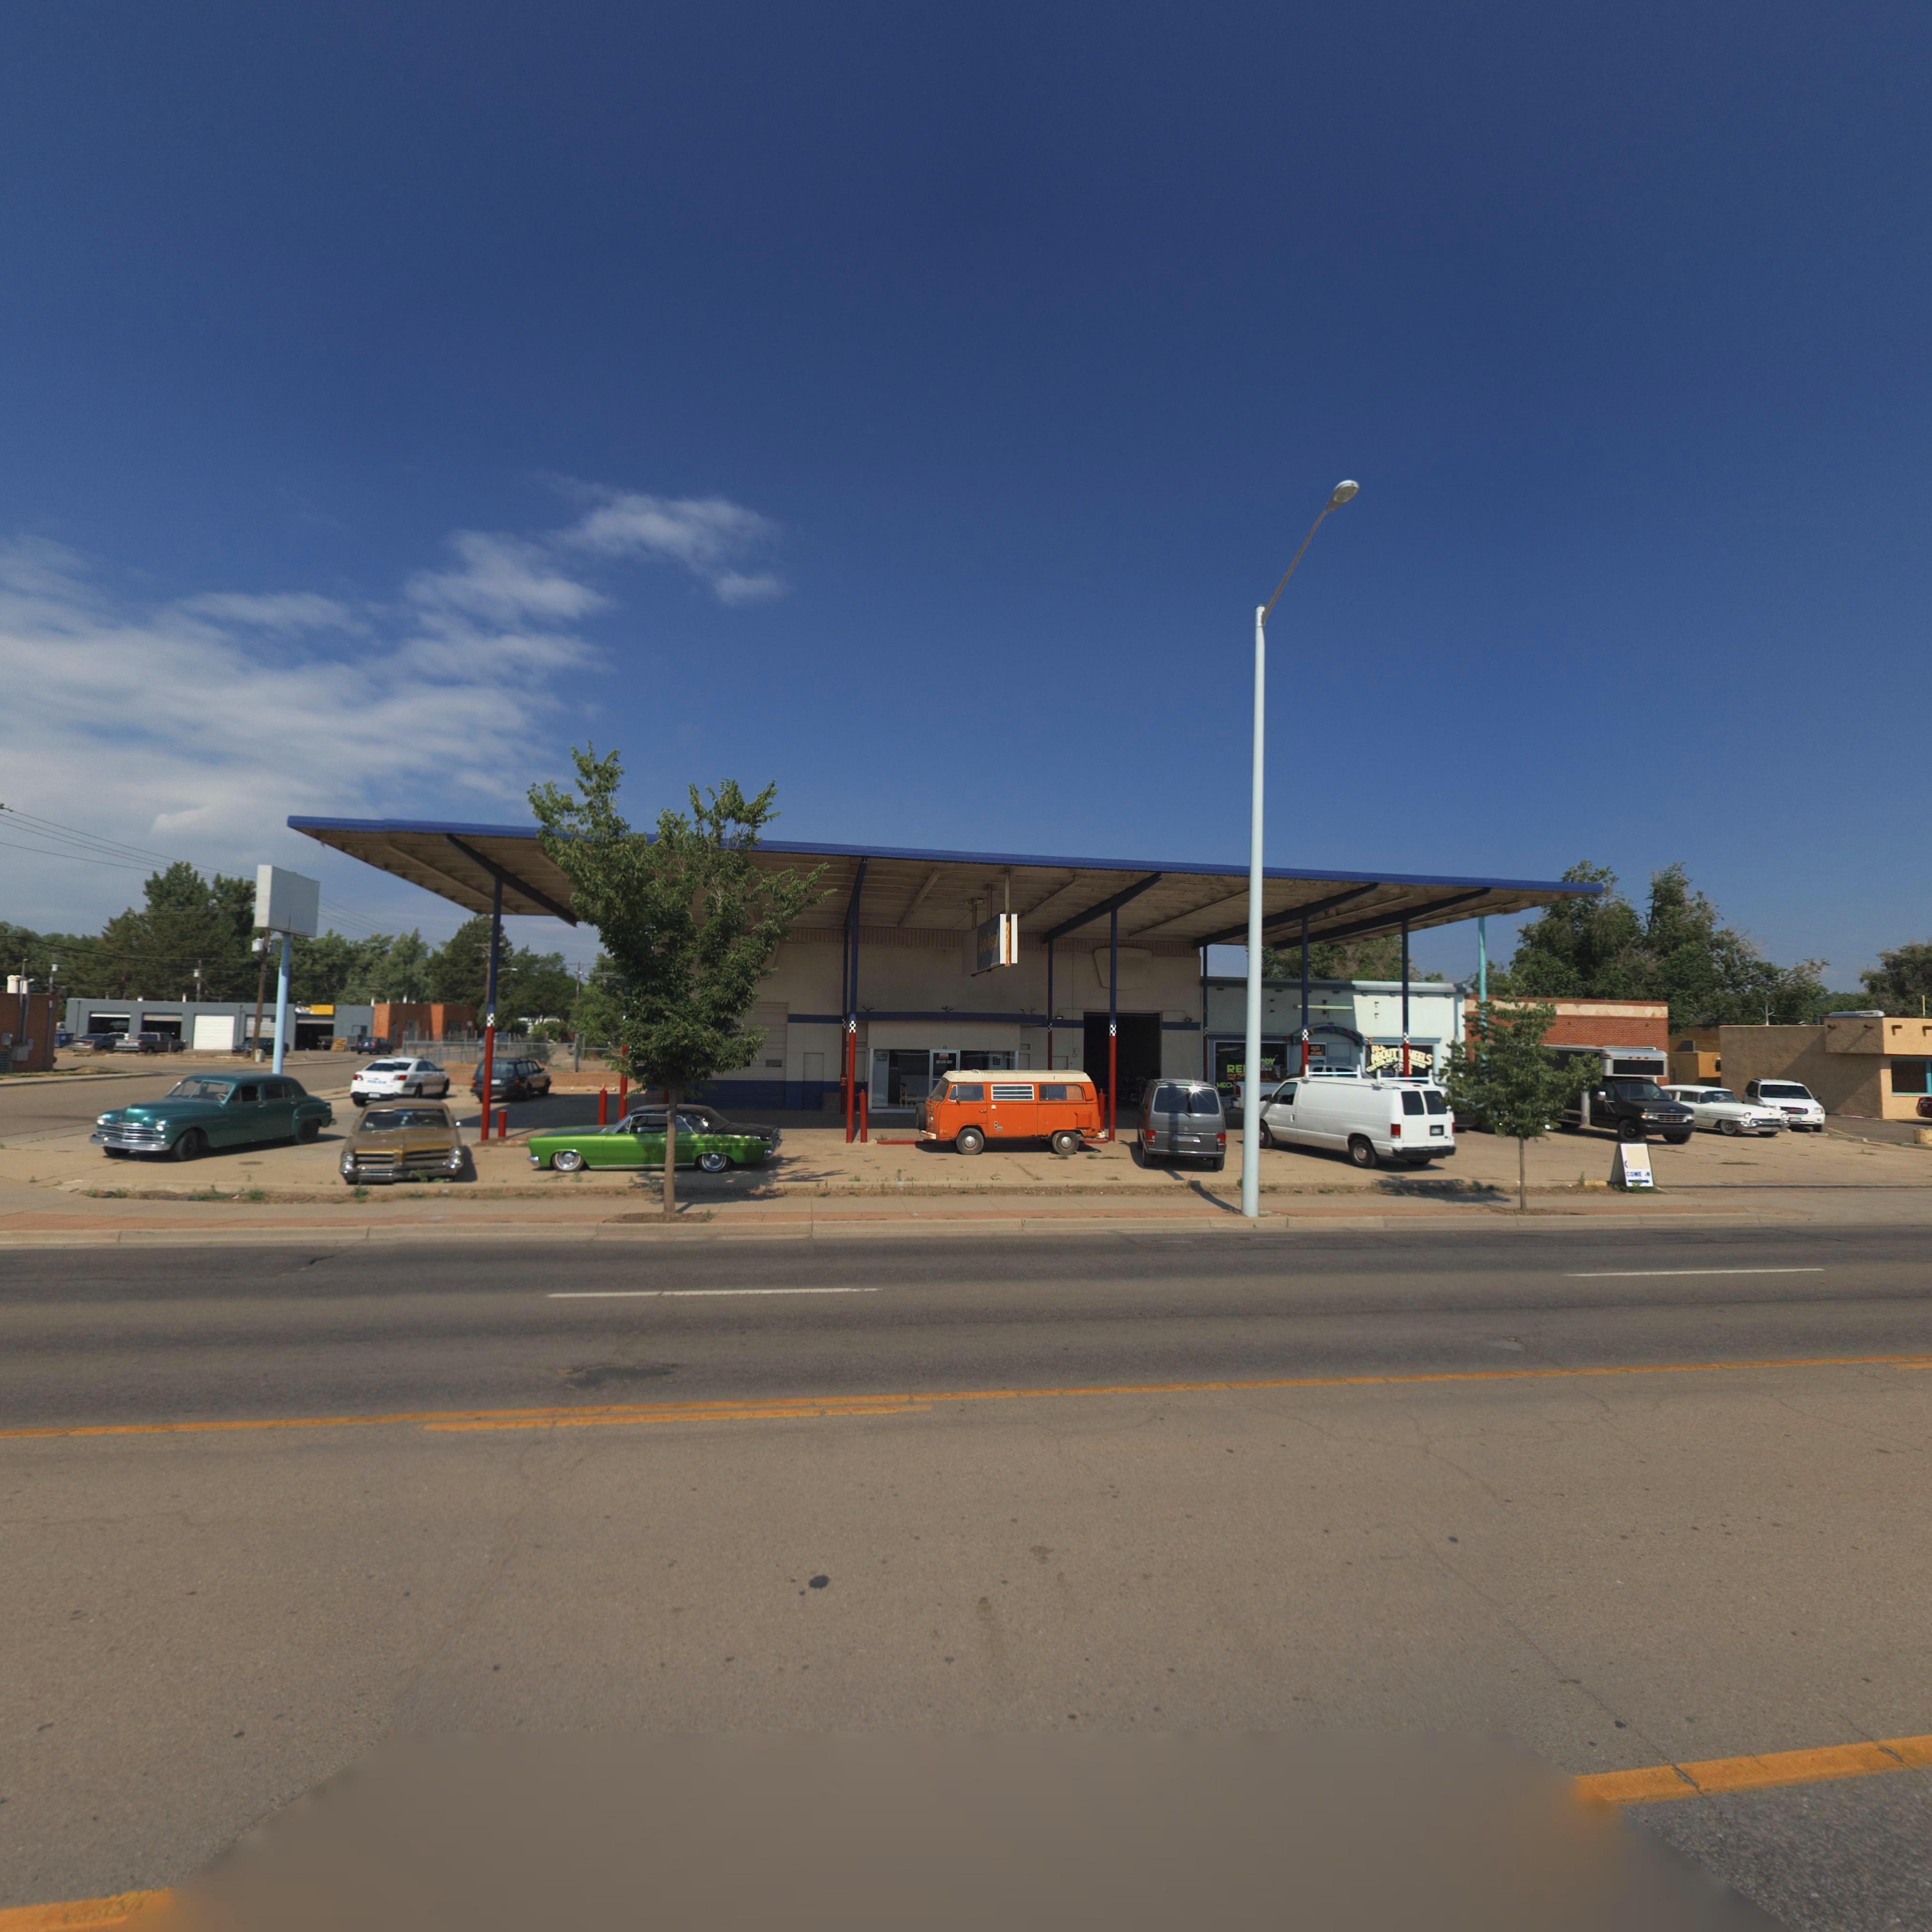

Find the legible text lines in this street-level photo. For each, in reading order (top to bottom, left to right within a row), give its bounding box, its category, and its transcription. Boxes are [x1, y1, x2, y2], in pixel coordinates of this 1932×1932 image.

[1310, 1045, 1316, 1051] StreetNumber: 41
[1316, 1045, 1320, 1051] StreetName: S
[1371, 1044, 1385, 1053] BusinessName: ALL
[1310, 1051, 1322, 1055] StreetName: M***
[1370, 1047, 1433, 1065] BusinessName: ABOUT WHEELS